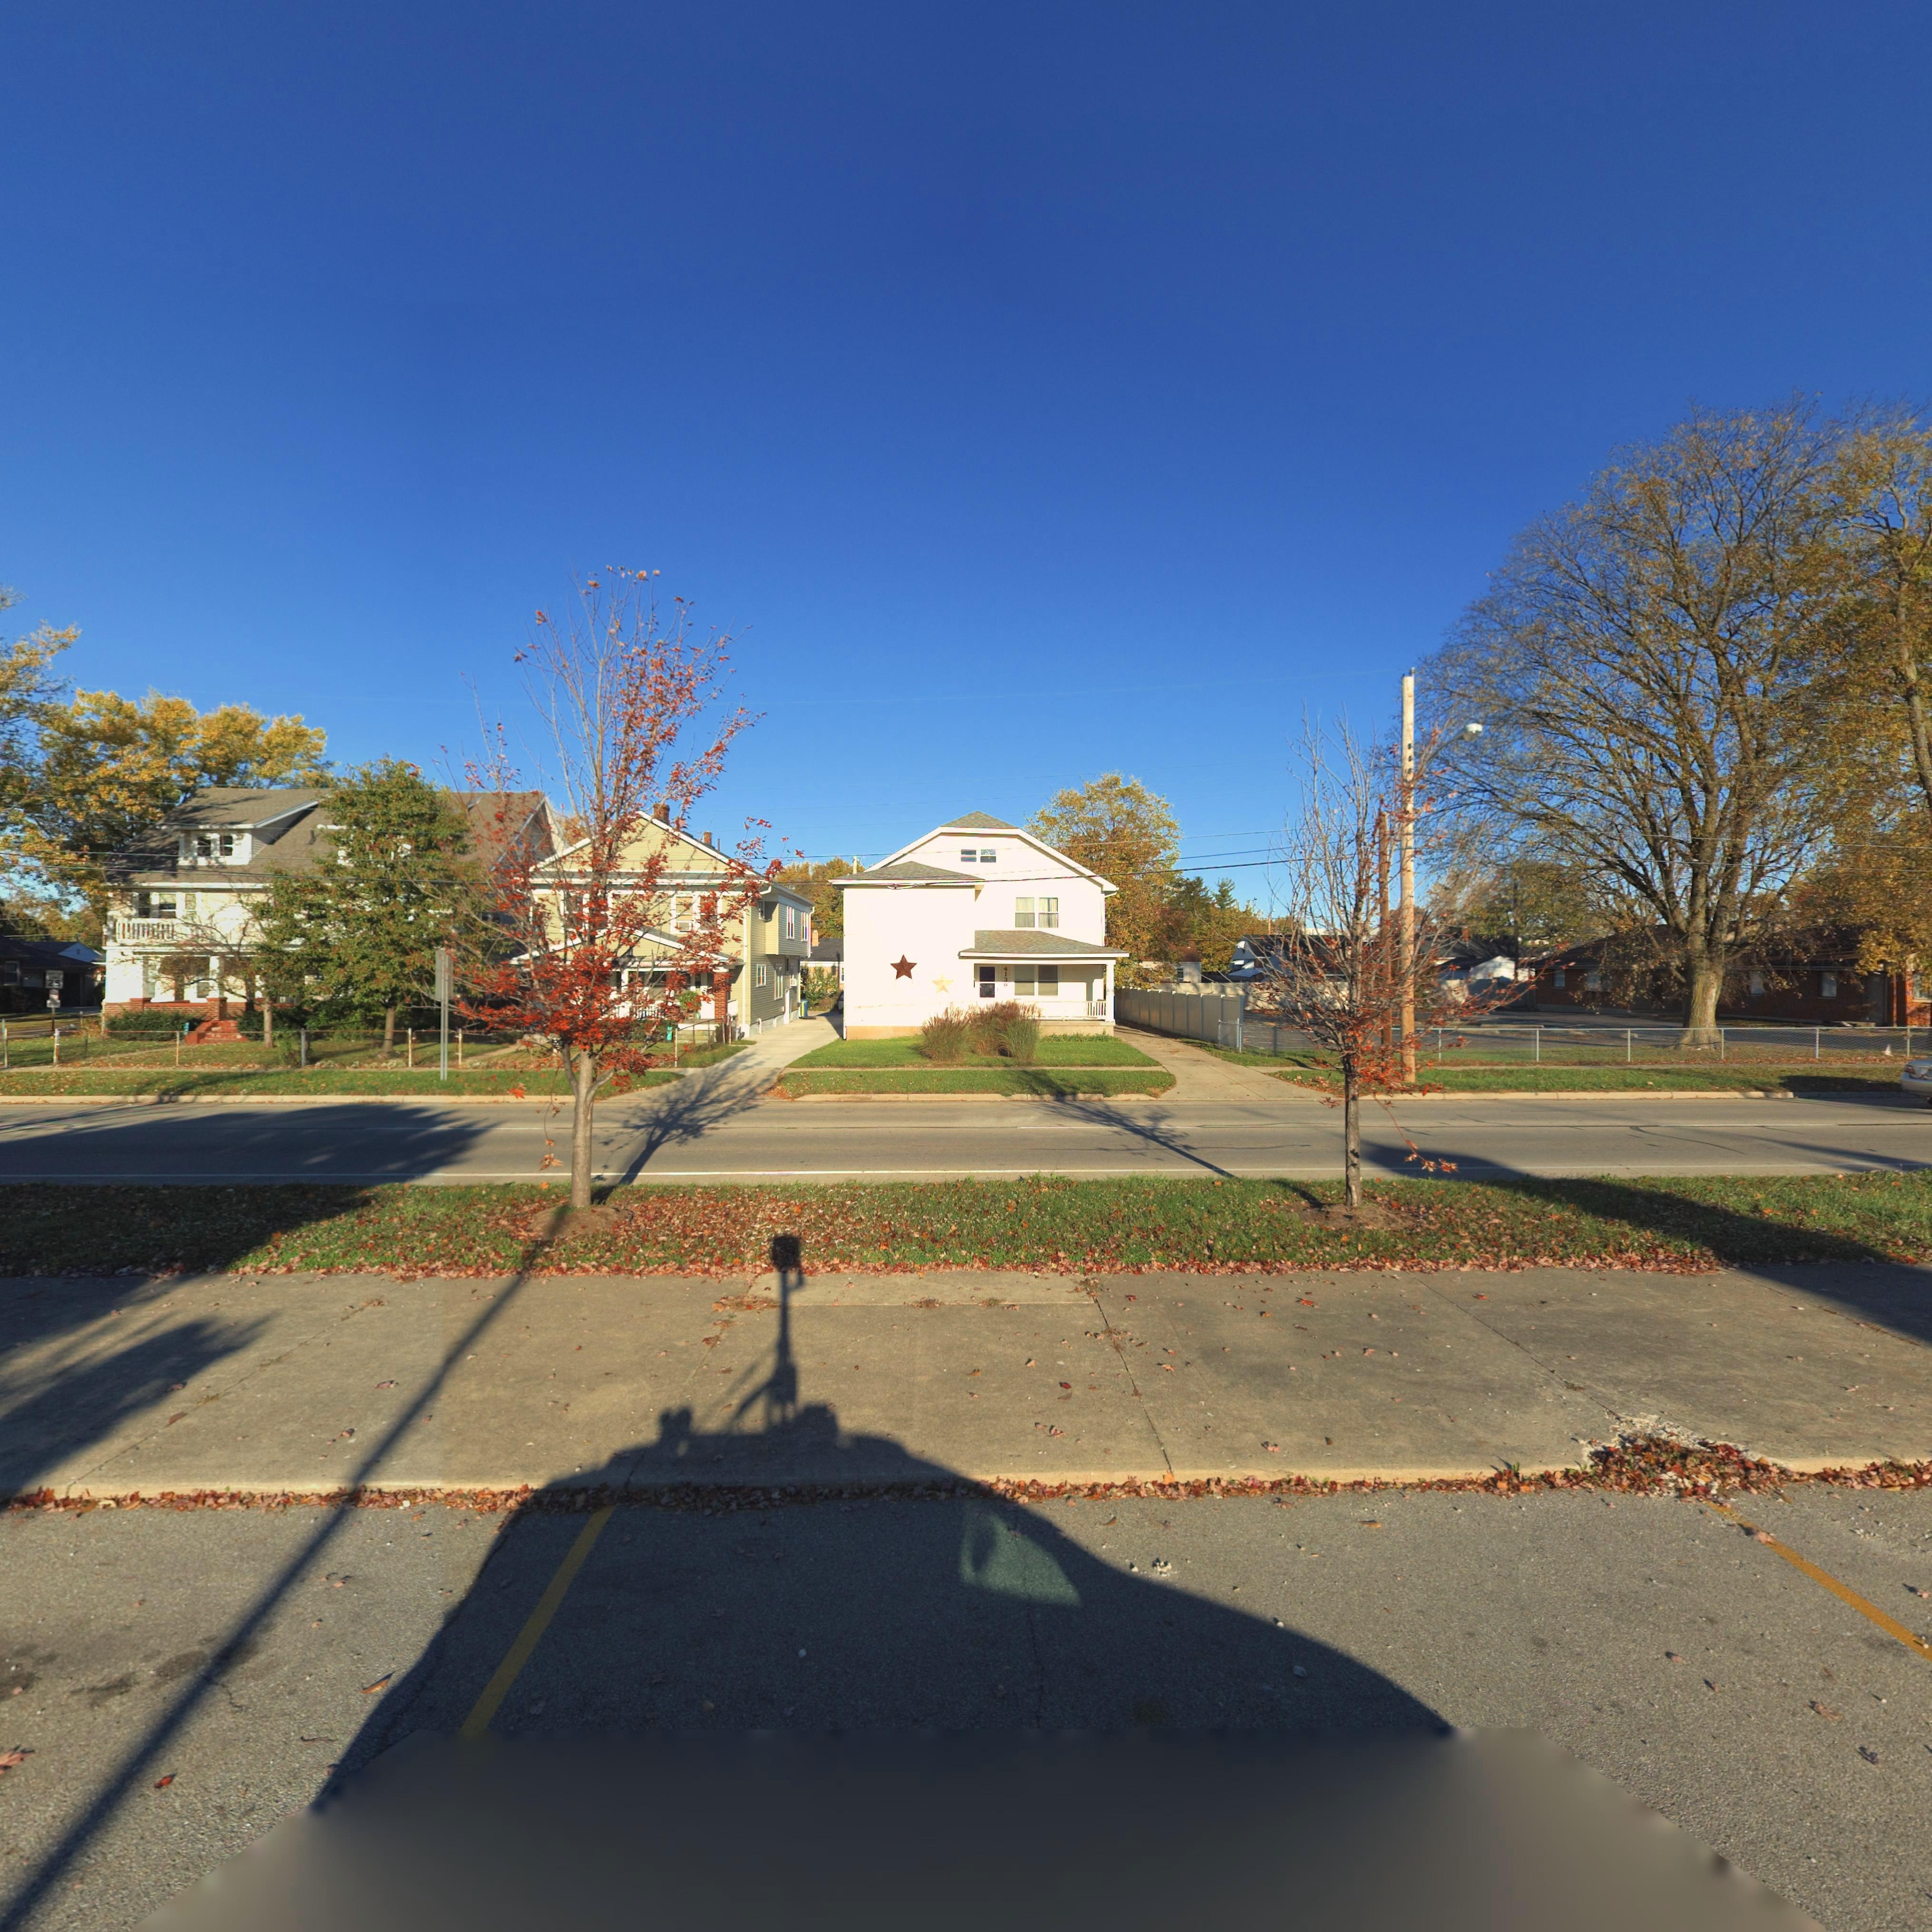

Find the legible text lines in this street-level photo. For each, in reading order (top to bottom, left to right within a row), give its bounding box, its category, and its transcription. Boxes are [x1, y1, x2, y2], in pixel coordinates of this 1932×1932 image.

[1003, 966, 1008, 989] StreetNumber: 413*